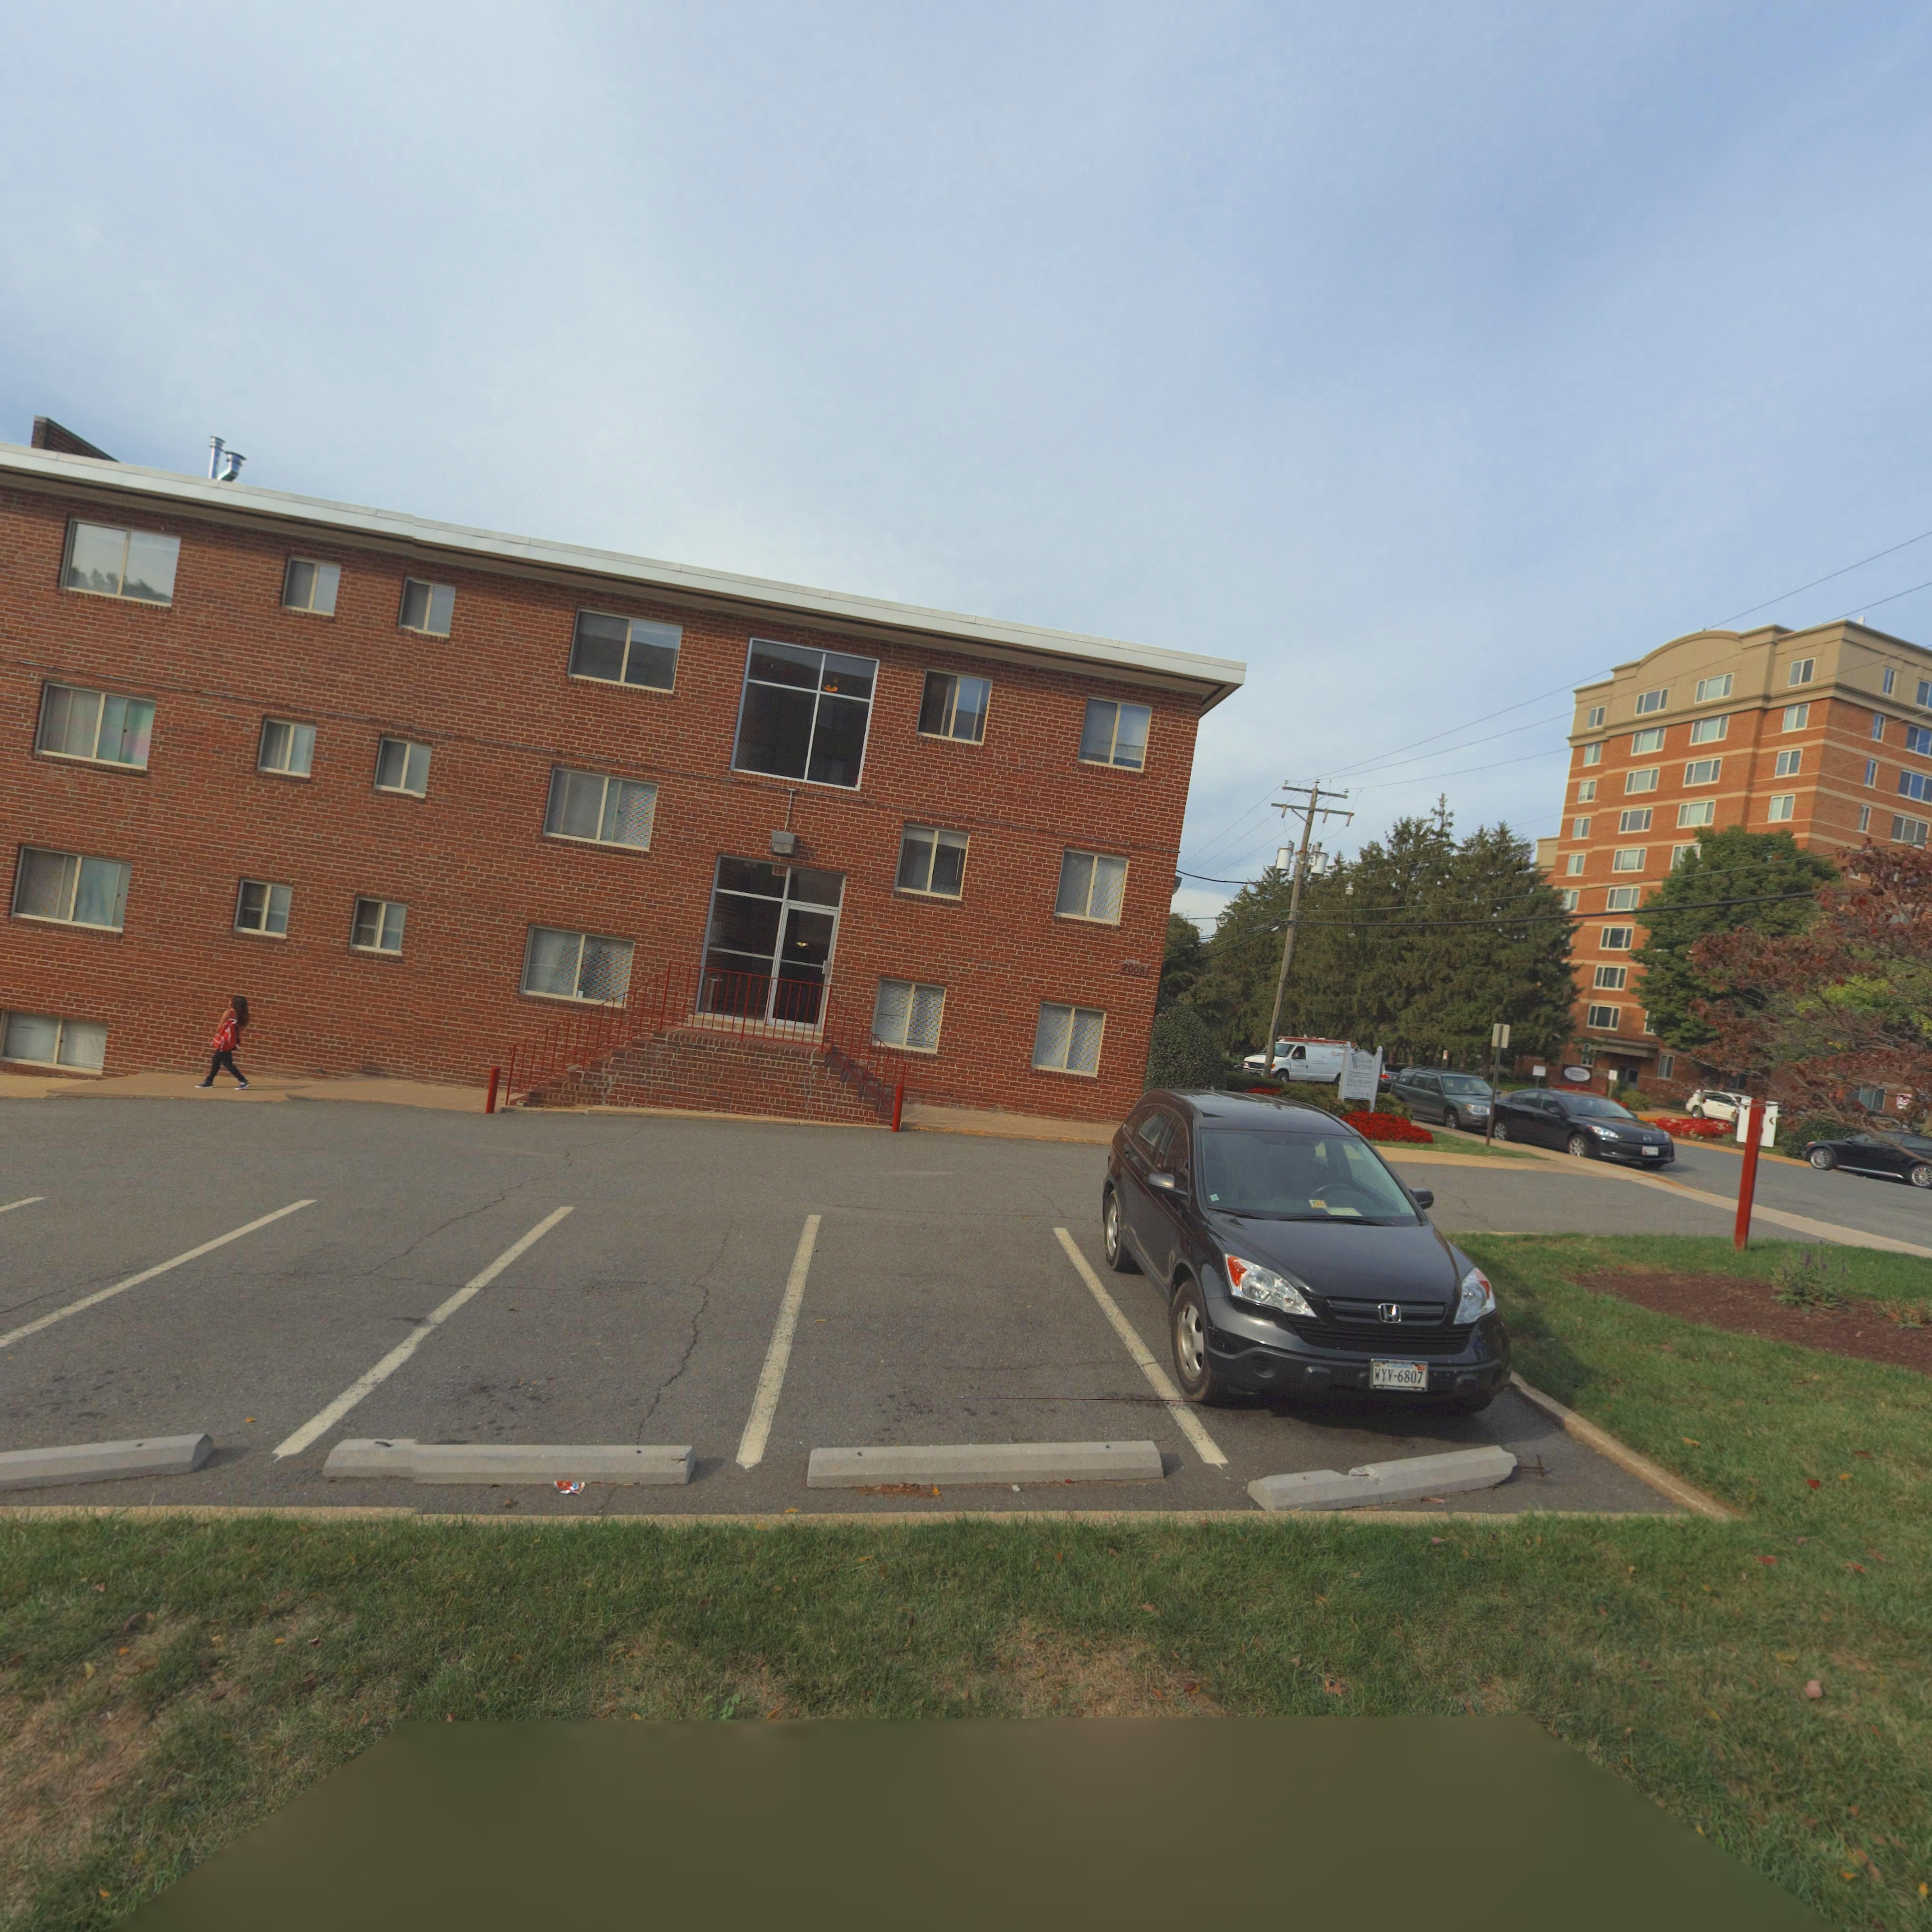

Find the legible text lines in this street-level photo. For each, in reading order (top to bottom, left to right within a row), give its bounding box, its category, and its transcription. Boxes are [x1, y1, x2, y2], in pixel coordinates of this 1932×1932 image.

[774, 865, 787, 875] None: EXIT
[1121, 963, 1145, 976] None: 2008
[1332, 1052, 1344, 1057] None: com
[1352, 1055, 1373, 1063] None: WH*****
[1352, 1060, 1373, 1071] None: W*****
[1387, 1362, 1414, 1368] None: VIRGINIA
[1373, 1368, 1424, 1385] None: WYV-6807